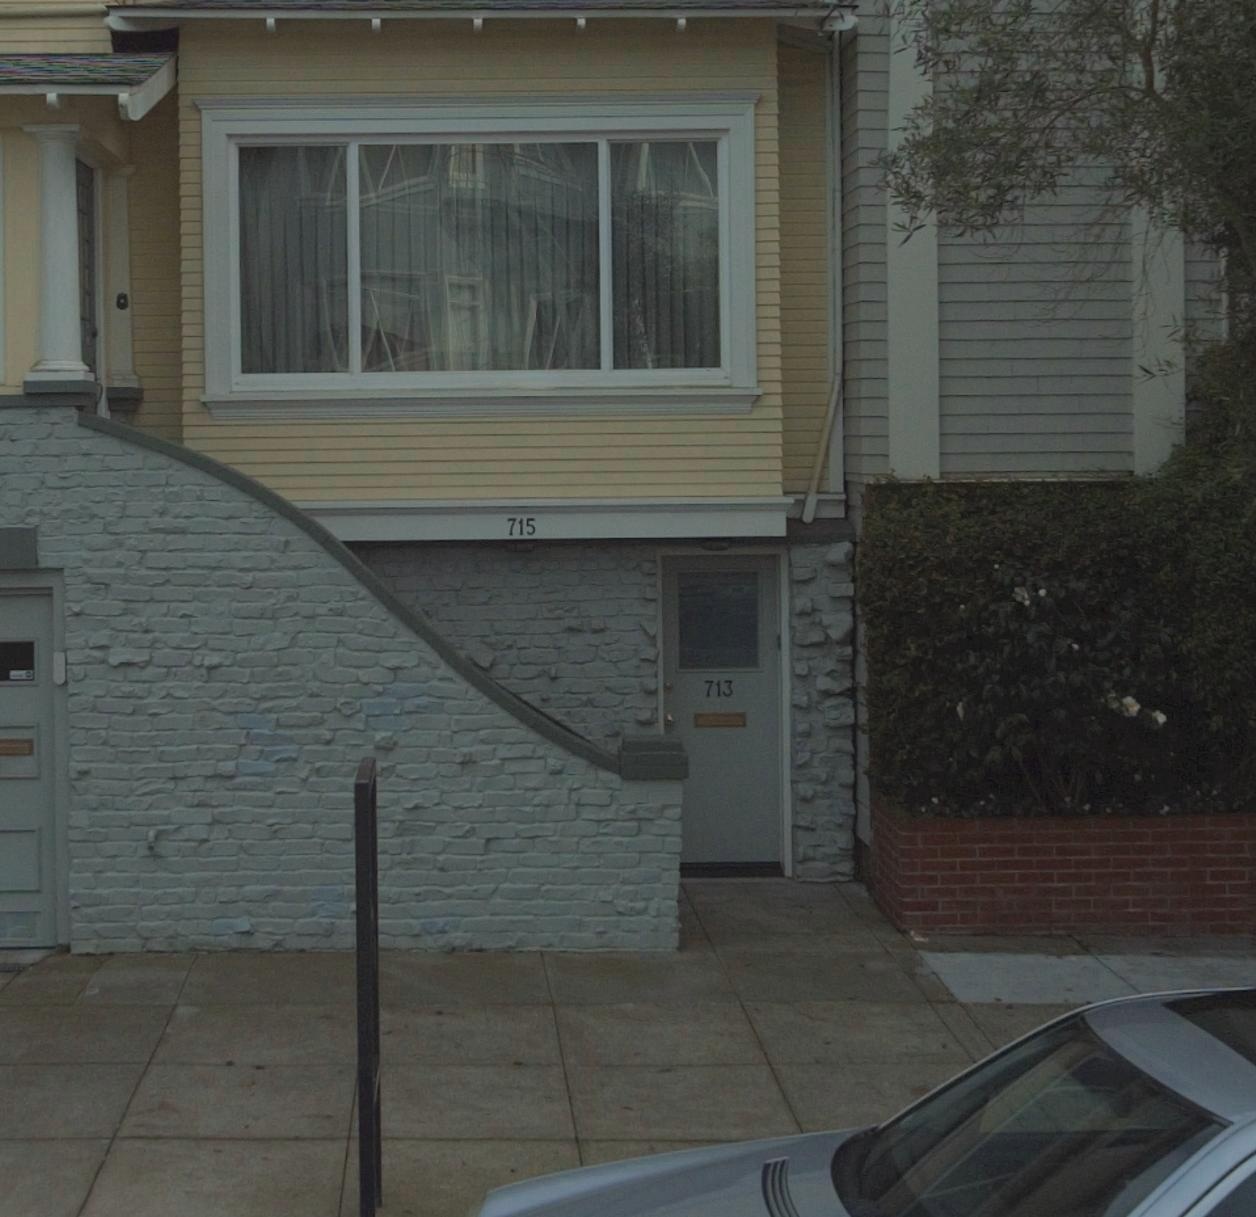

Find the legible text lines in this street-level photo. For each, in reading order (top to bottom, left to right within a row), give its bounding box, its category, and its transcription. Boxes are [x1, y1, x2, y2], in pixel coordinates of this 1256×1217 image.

[506, 517, 536, 537] StreetNumber: 715
[703, 679, 734, 698] StreetNumber: 713